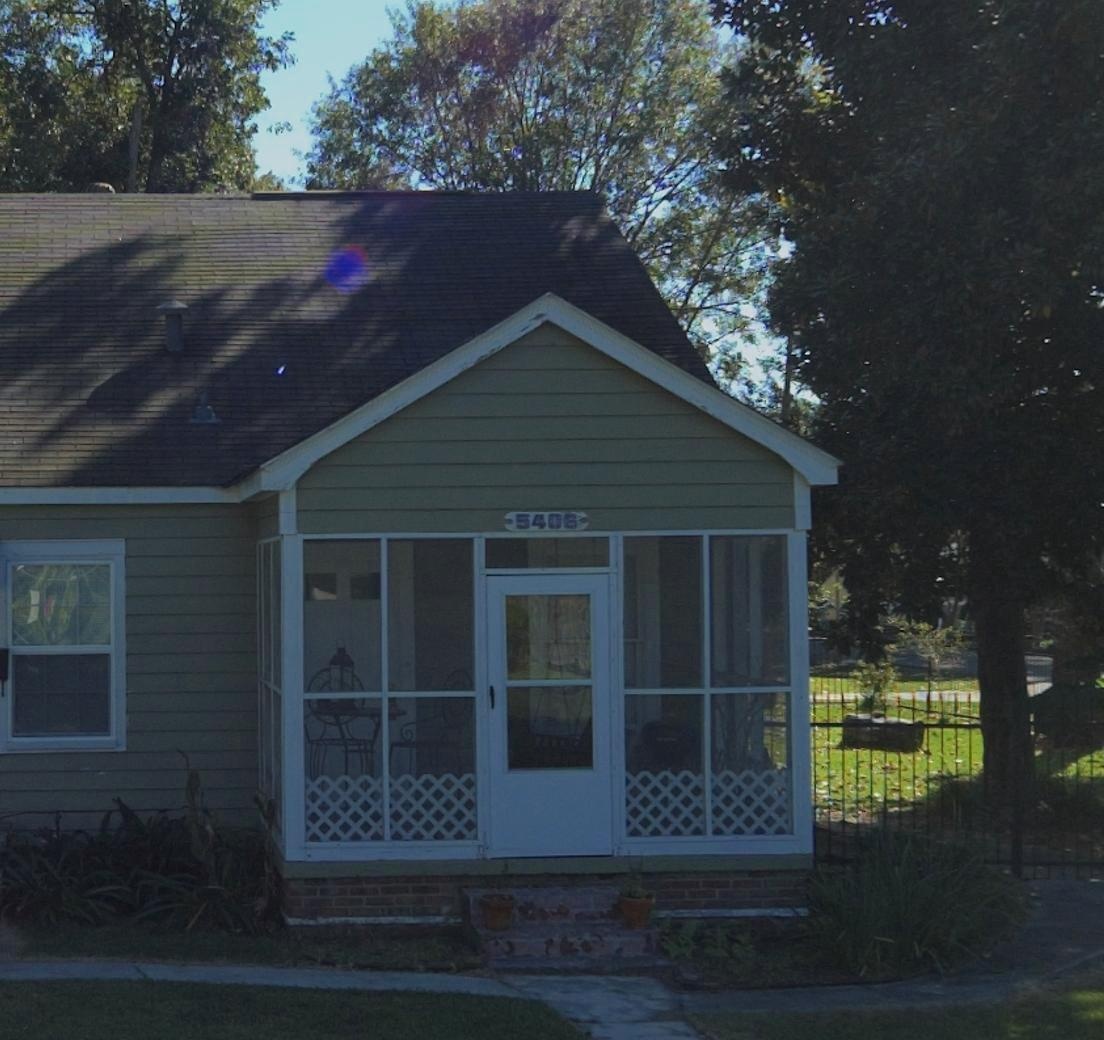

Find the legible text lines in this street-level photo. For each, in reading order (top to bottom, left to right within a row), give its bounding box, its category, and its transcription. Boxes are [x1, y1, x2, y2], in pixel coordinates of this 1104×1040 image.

[515, 512, 578, 531] StreetNumber: 5406